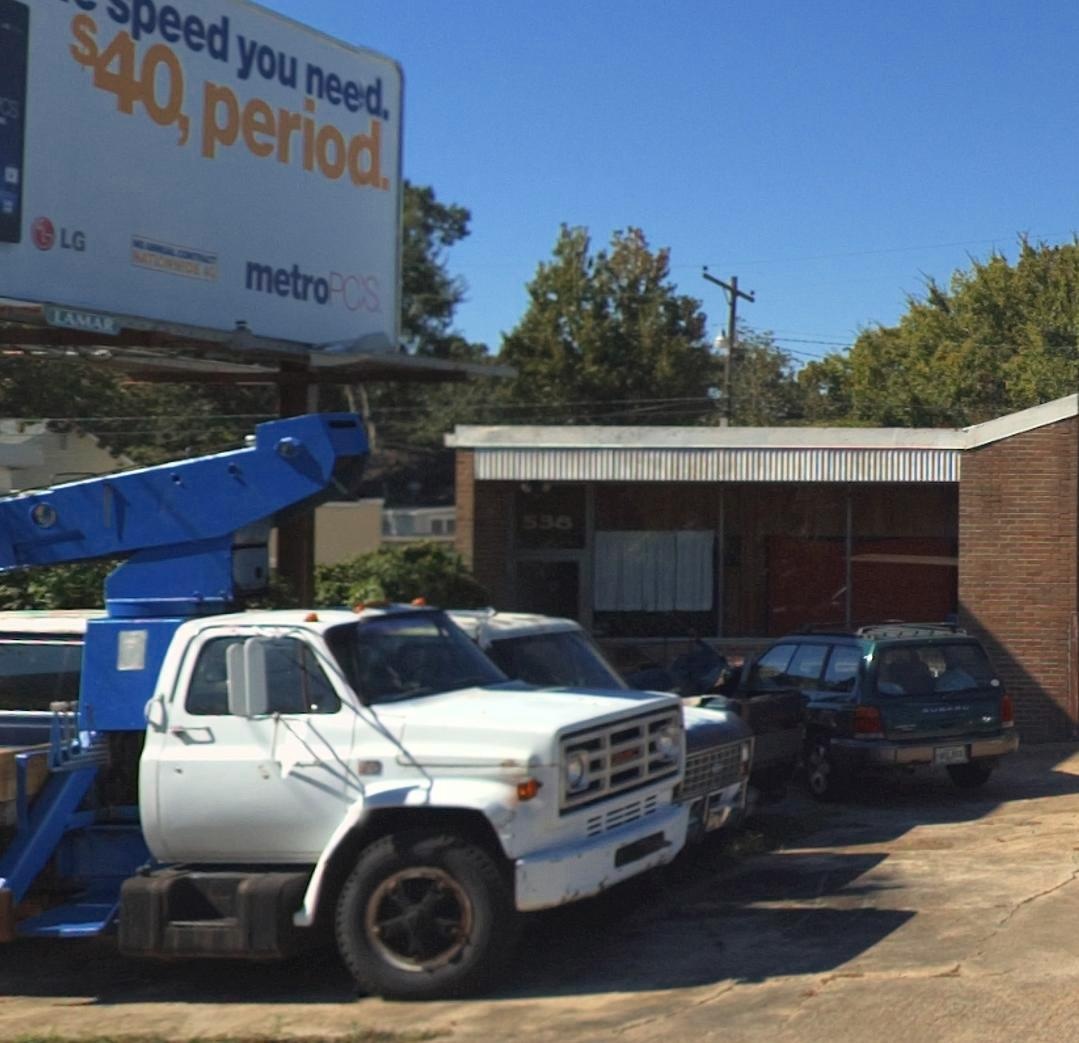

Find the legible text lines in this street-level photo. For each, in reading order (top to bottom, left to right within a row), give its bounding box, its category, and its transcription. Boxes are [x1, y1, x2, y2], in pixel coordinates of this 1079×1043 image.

[157, 7, 393, 124] None: eed you need.
[90, 25, 393, 194] None: 40, period.
[57, 223, 89, 255] None: LG
[241, 256, 383, 317] None: metroPC's
[520, 511, 575, 533] StreetNumber: 538